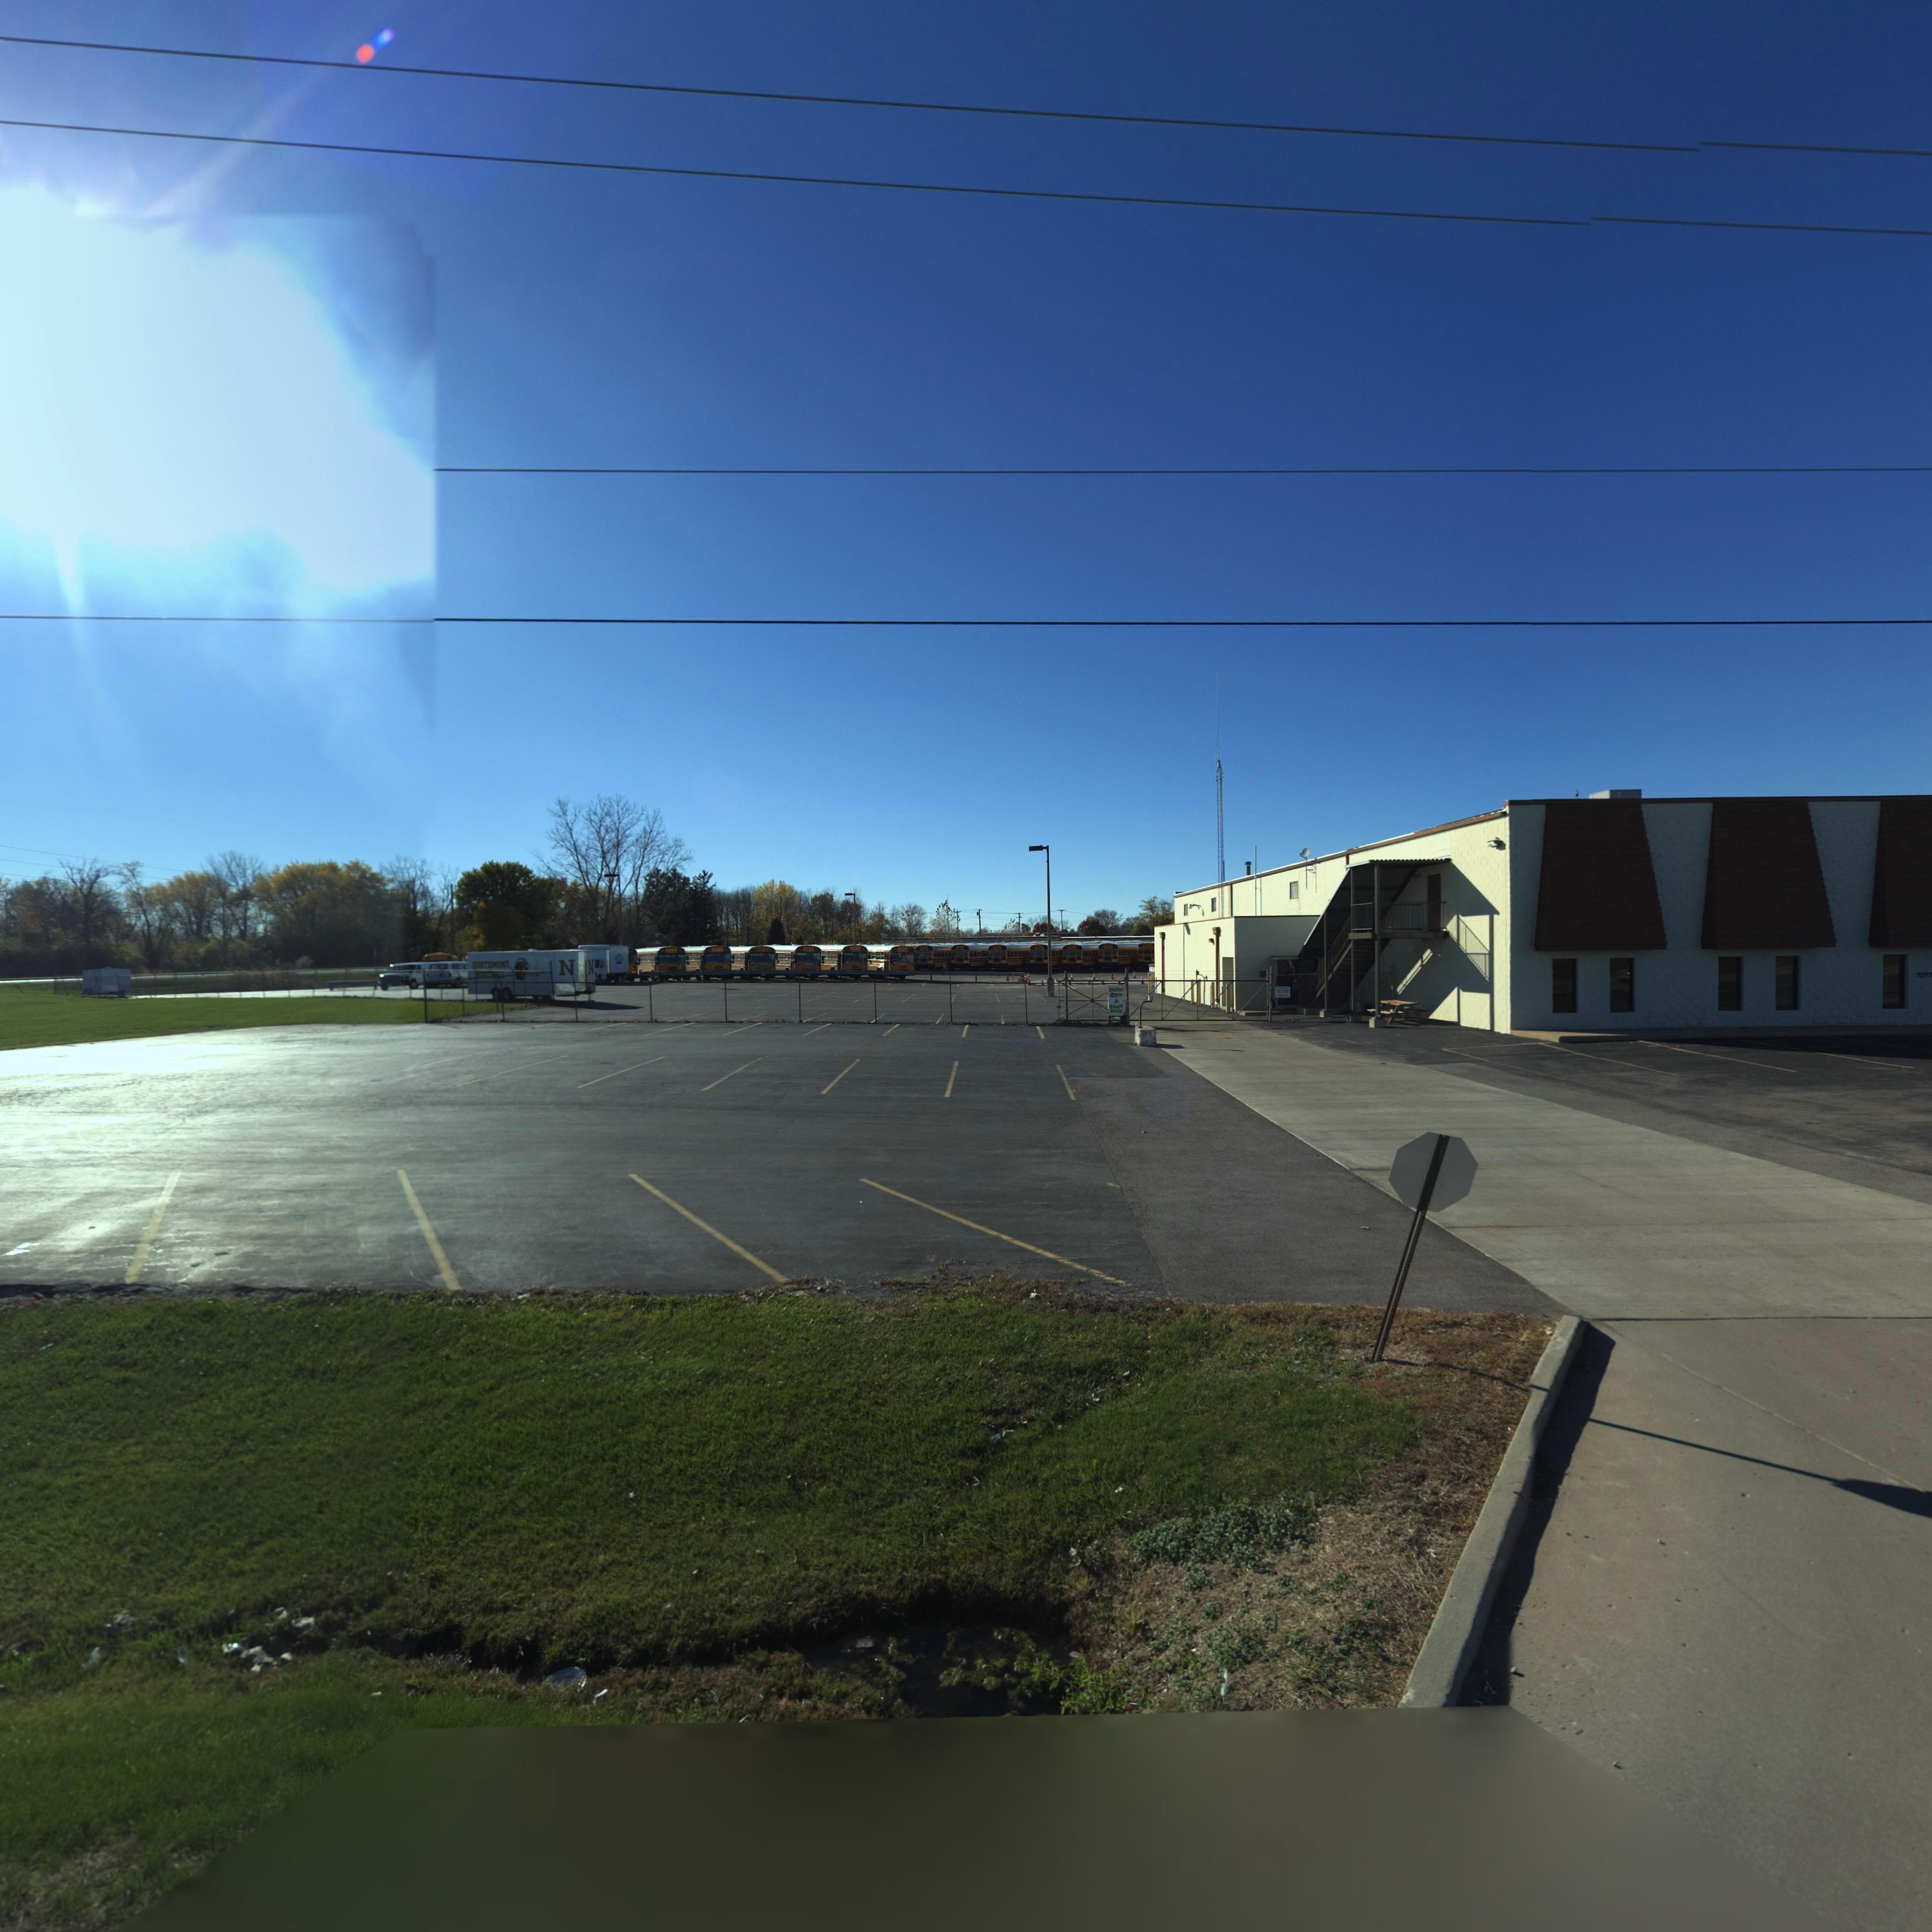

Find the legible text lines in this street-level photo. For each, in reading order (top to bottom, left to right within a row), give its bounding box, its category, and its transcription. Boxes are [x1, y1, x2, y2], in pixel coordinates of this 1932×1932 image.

[1915, 972, 1932, 978] StreetNumber: 7277